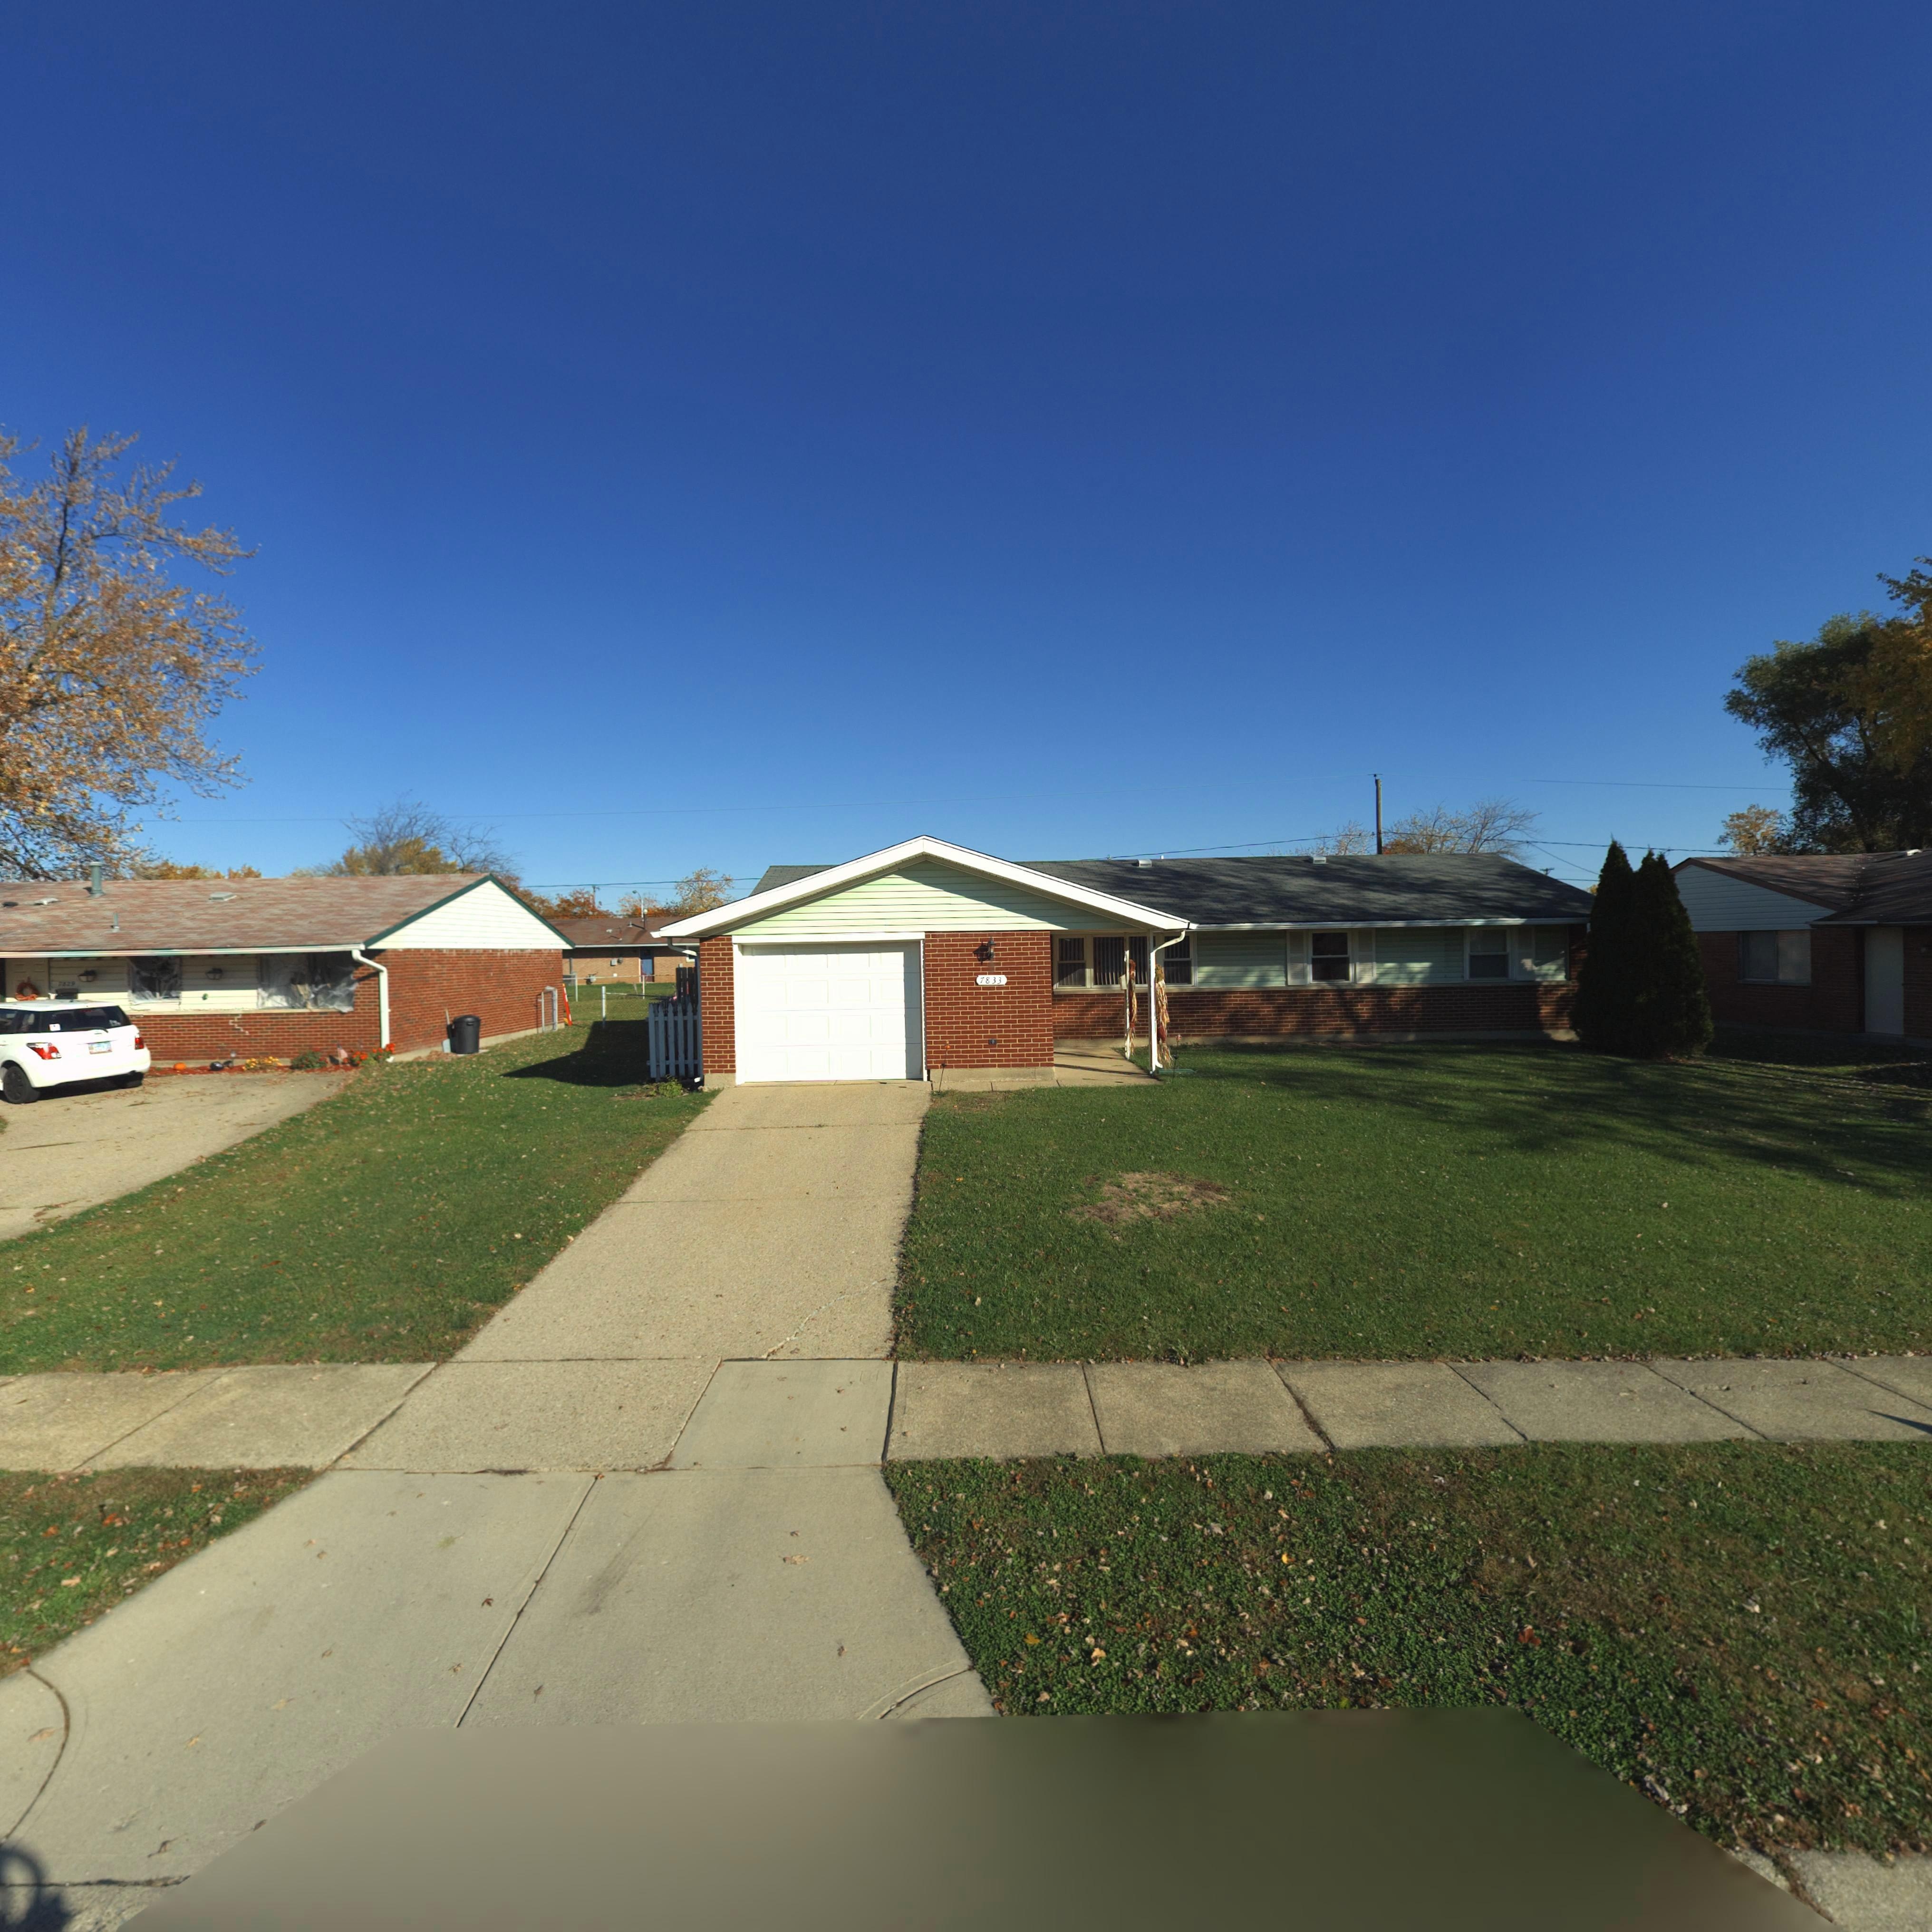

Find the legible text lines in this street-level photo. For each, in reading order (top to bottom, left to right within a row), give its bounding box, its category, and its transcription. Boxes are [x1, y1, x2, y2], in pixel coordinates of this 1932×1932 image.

[57, 980, 76, 987] StreetNumber: 7*29
[979, 976, 1002, 985] StreetNumber: 7833